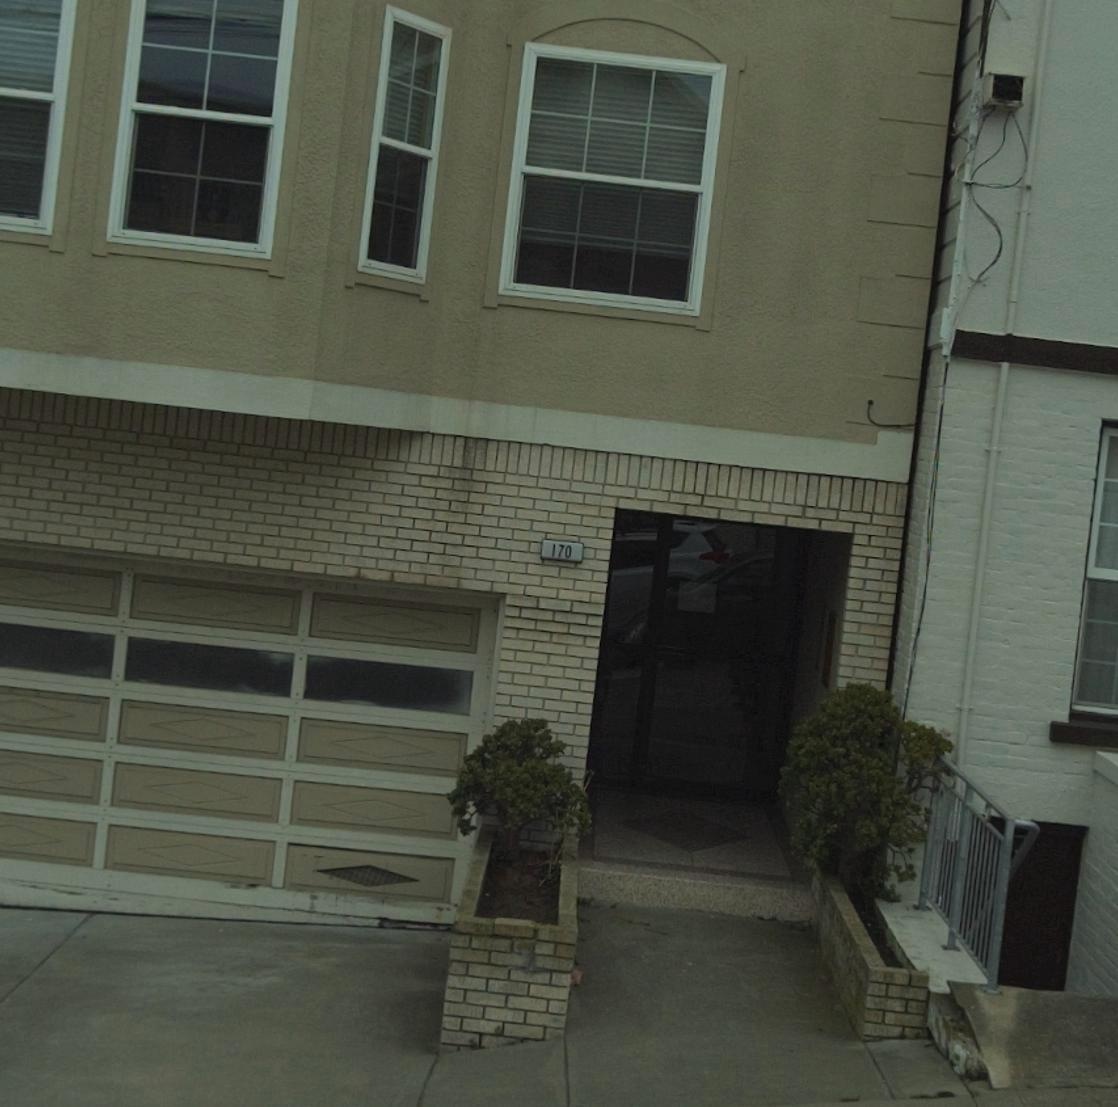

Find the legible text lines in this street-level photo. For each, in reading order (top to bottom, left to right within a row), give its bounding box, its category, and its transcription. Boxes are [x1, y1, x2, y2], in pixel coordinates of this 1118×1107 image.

[546, 540, 573, 560] StreetNumber: 170